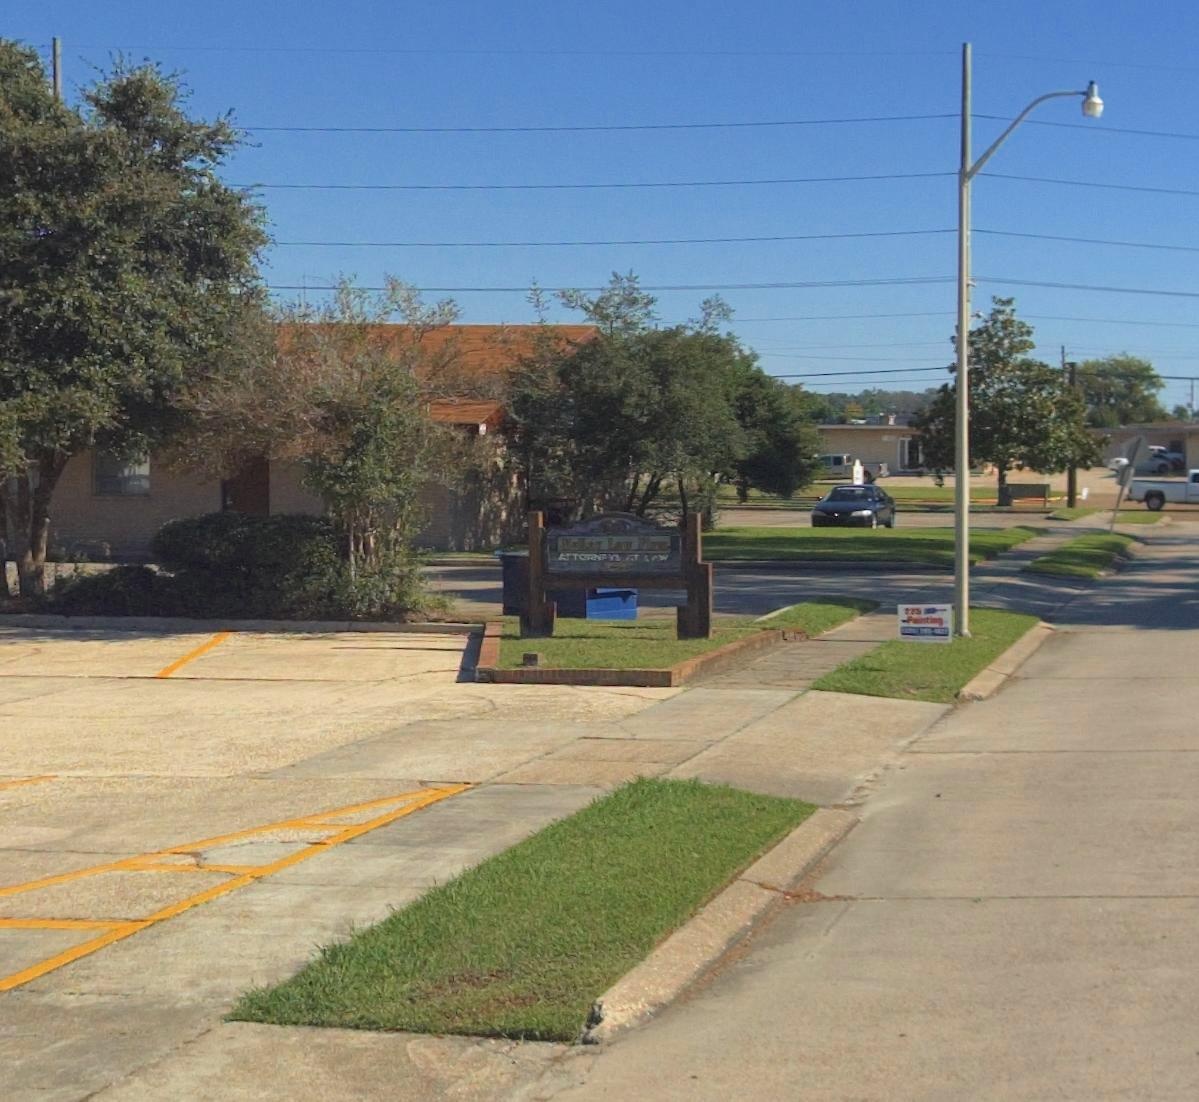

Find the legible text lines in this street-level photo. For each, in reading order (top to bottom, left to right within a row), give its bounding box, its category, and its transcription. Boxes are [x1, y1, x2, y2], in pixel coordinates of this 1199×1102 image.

[570, 550, 588, 564] BusinessName: TO
[905, 614, 914, 626] None: P